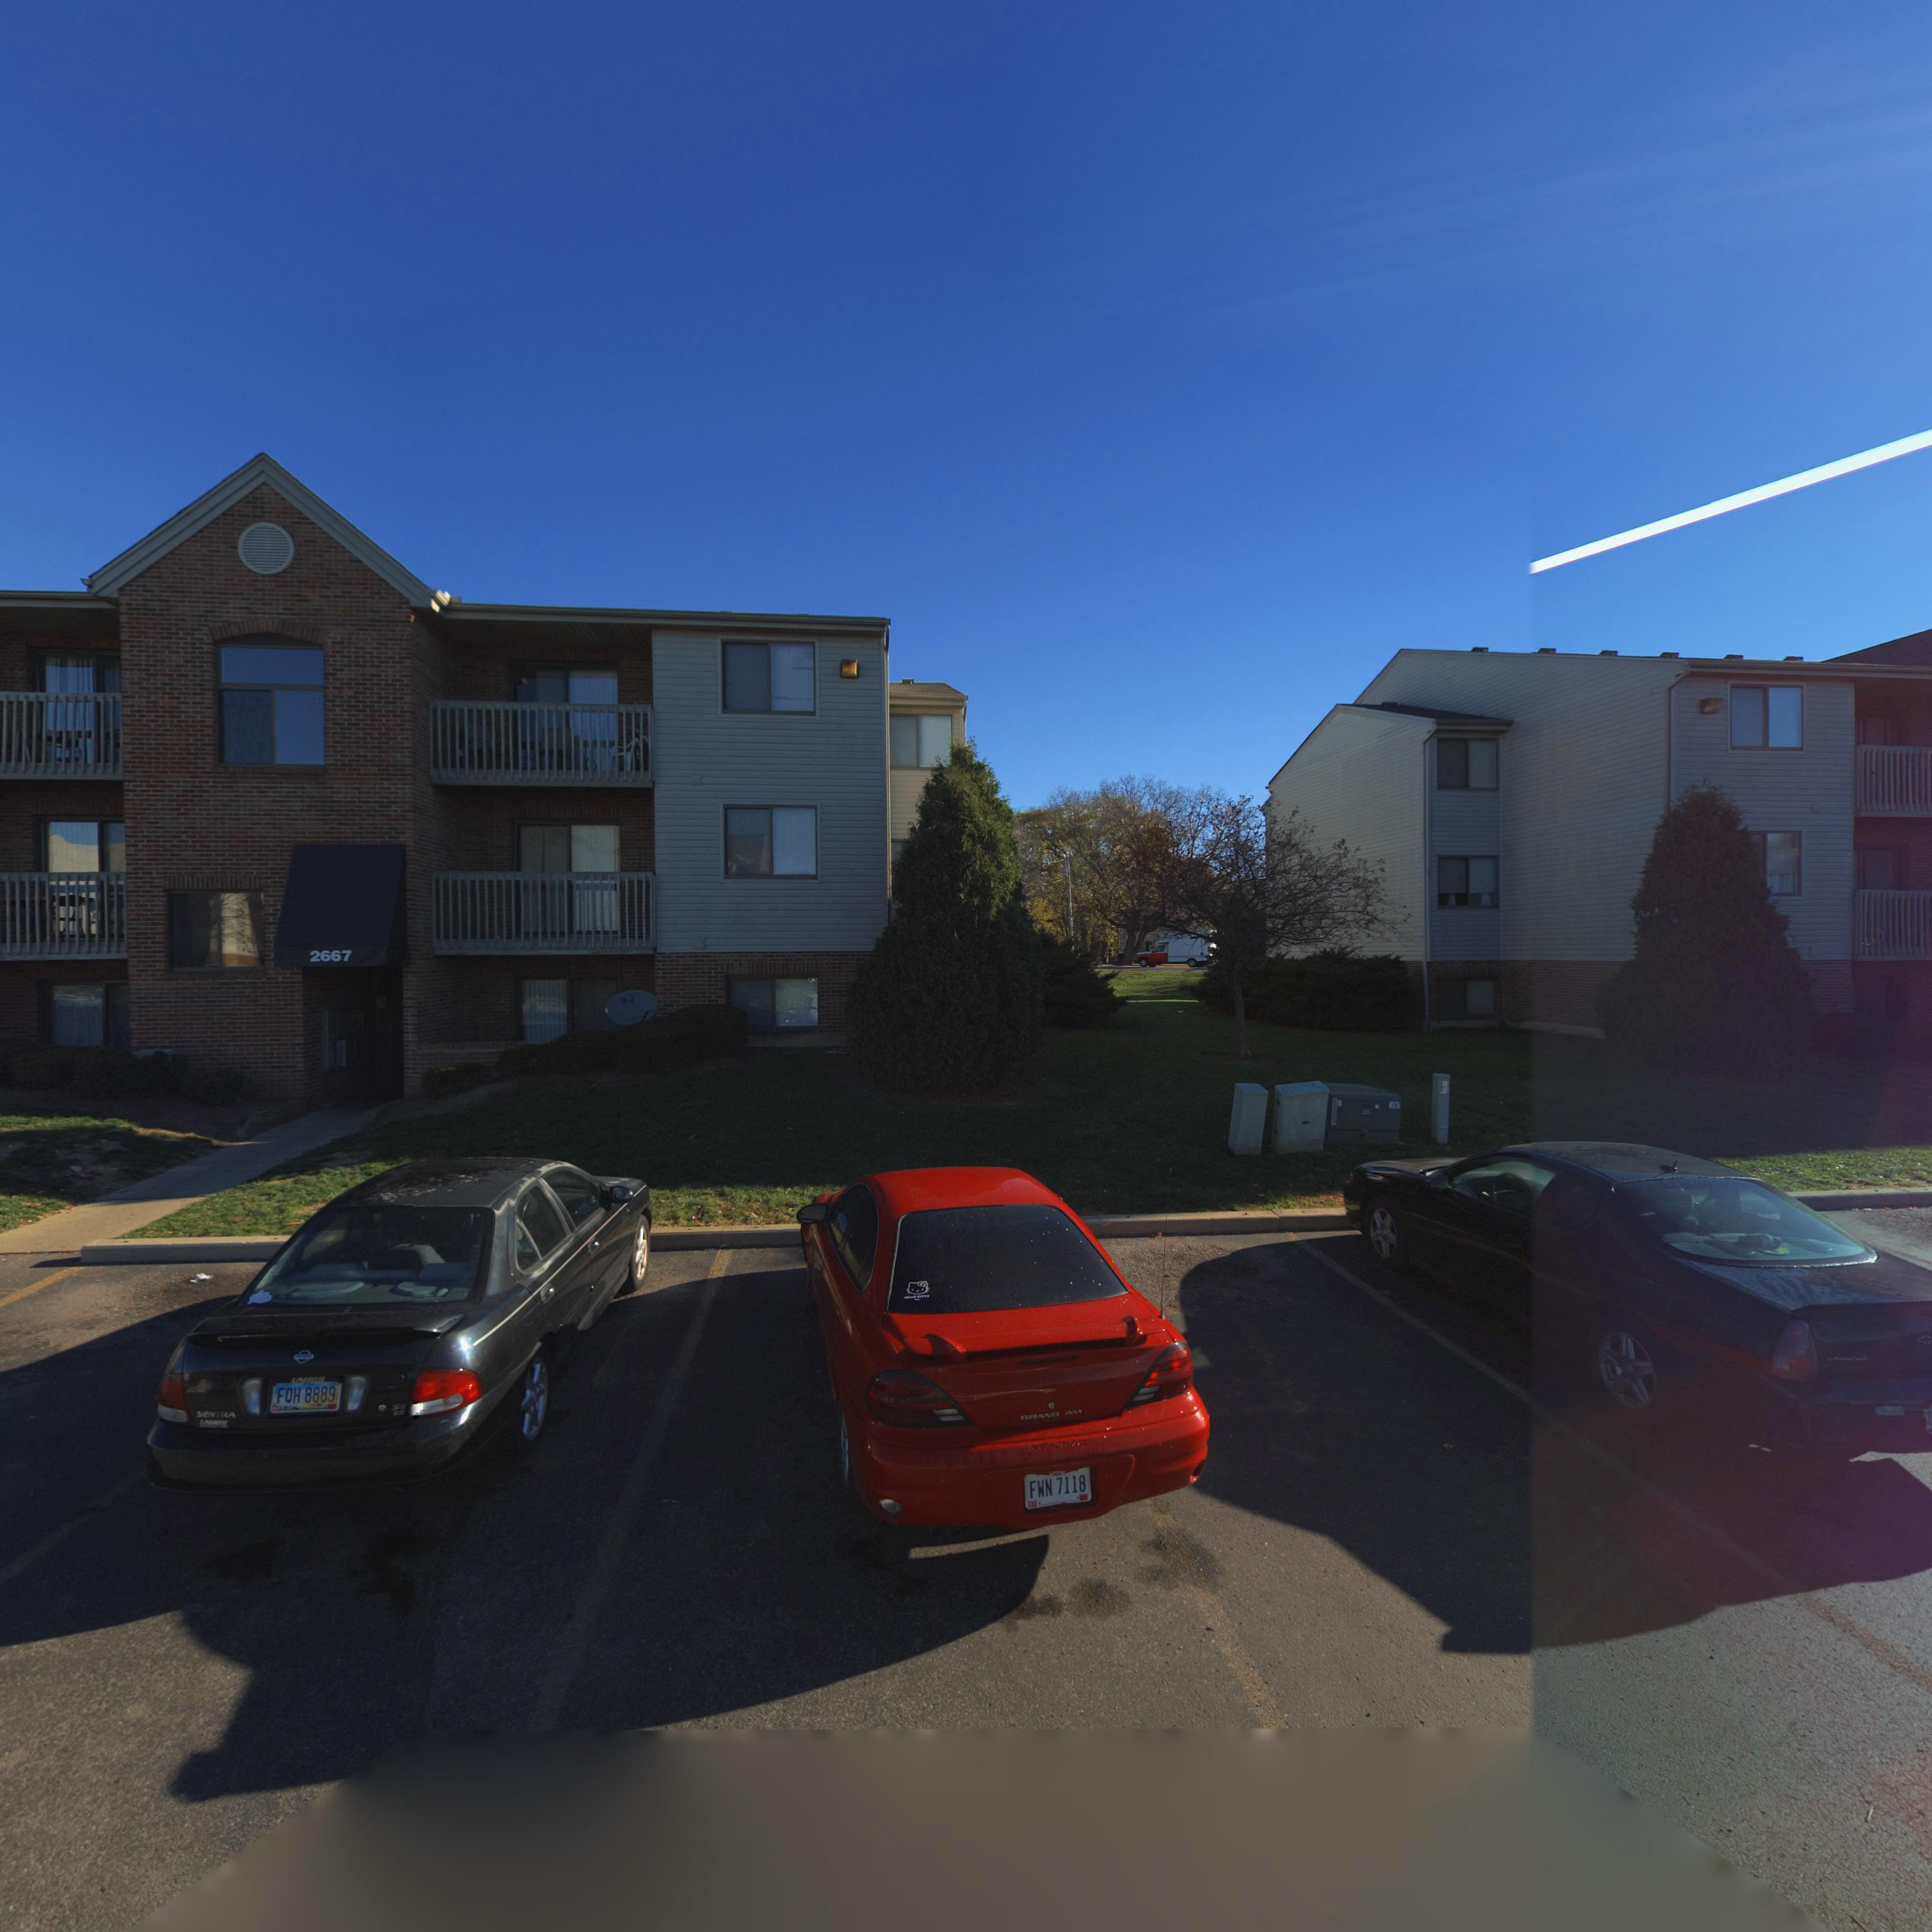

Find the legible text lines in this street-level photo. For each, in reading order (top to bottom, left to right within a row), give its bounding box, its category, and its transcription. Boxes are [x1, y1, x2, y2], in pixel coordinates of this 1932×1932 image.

[309, 949, 352, 962] StreetNumber: 2667